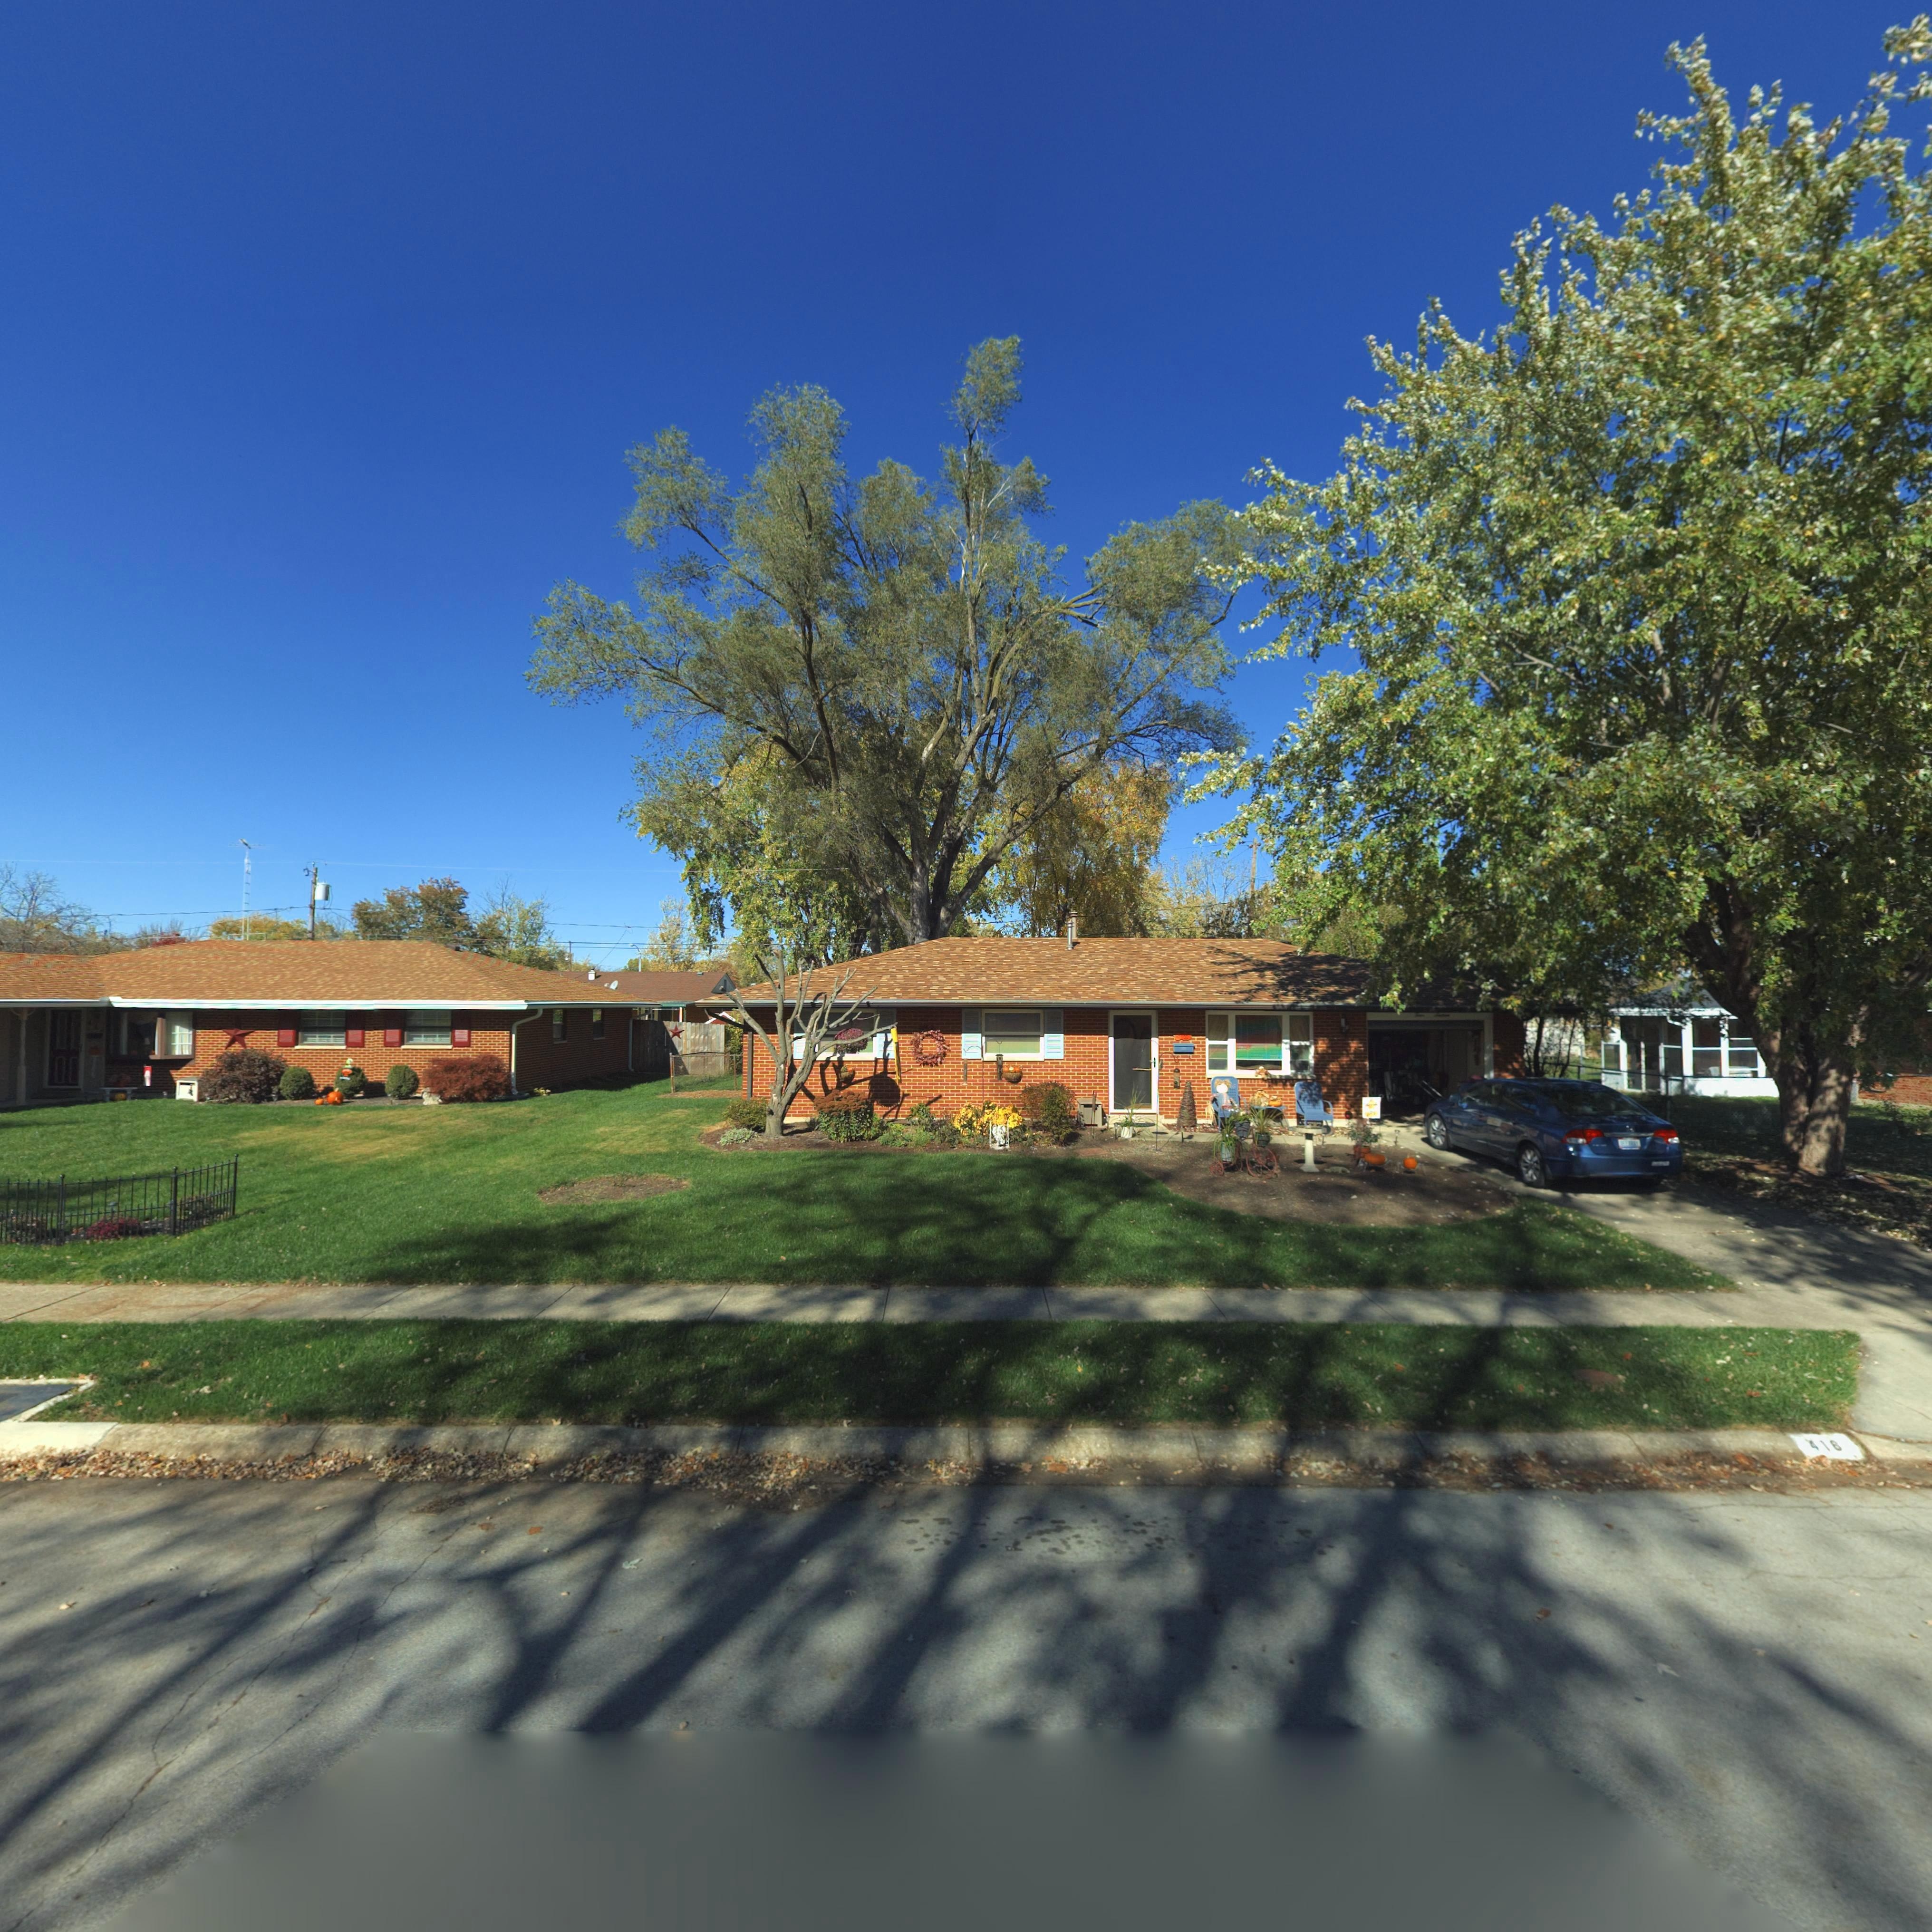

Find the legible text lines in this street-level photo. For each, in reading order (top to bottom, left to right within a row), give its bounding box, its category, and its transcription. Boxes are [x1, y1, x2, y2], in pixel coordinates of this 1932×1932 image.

[1805, 1438, 1844, 1453] StreetNumber: 41*